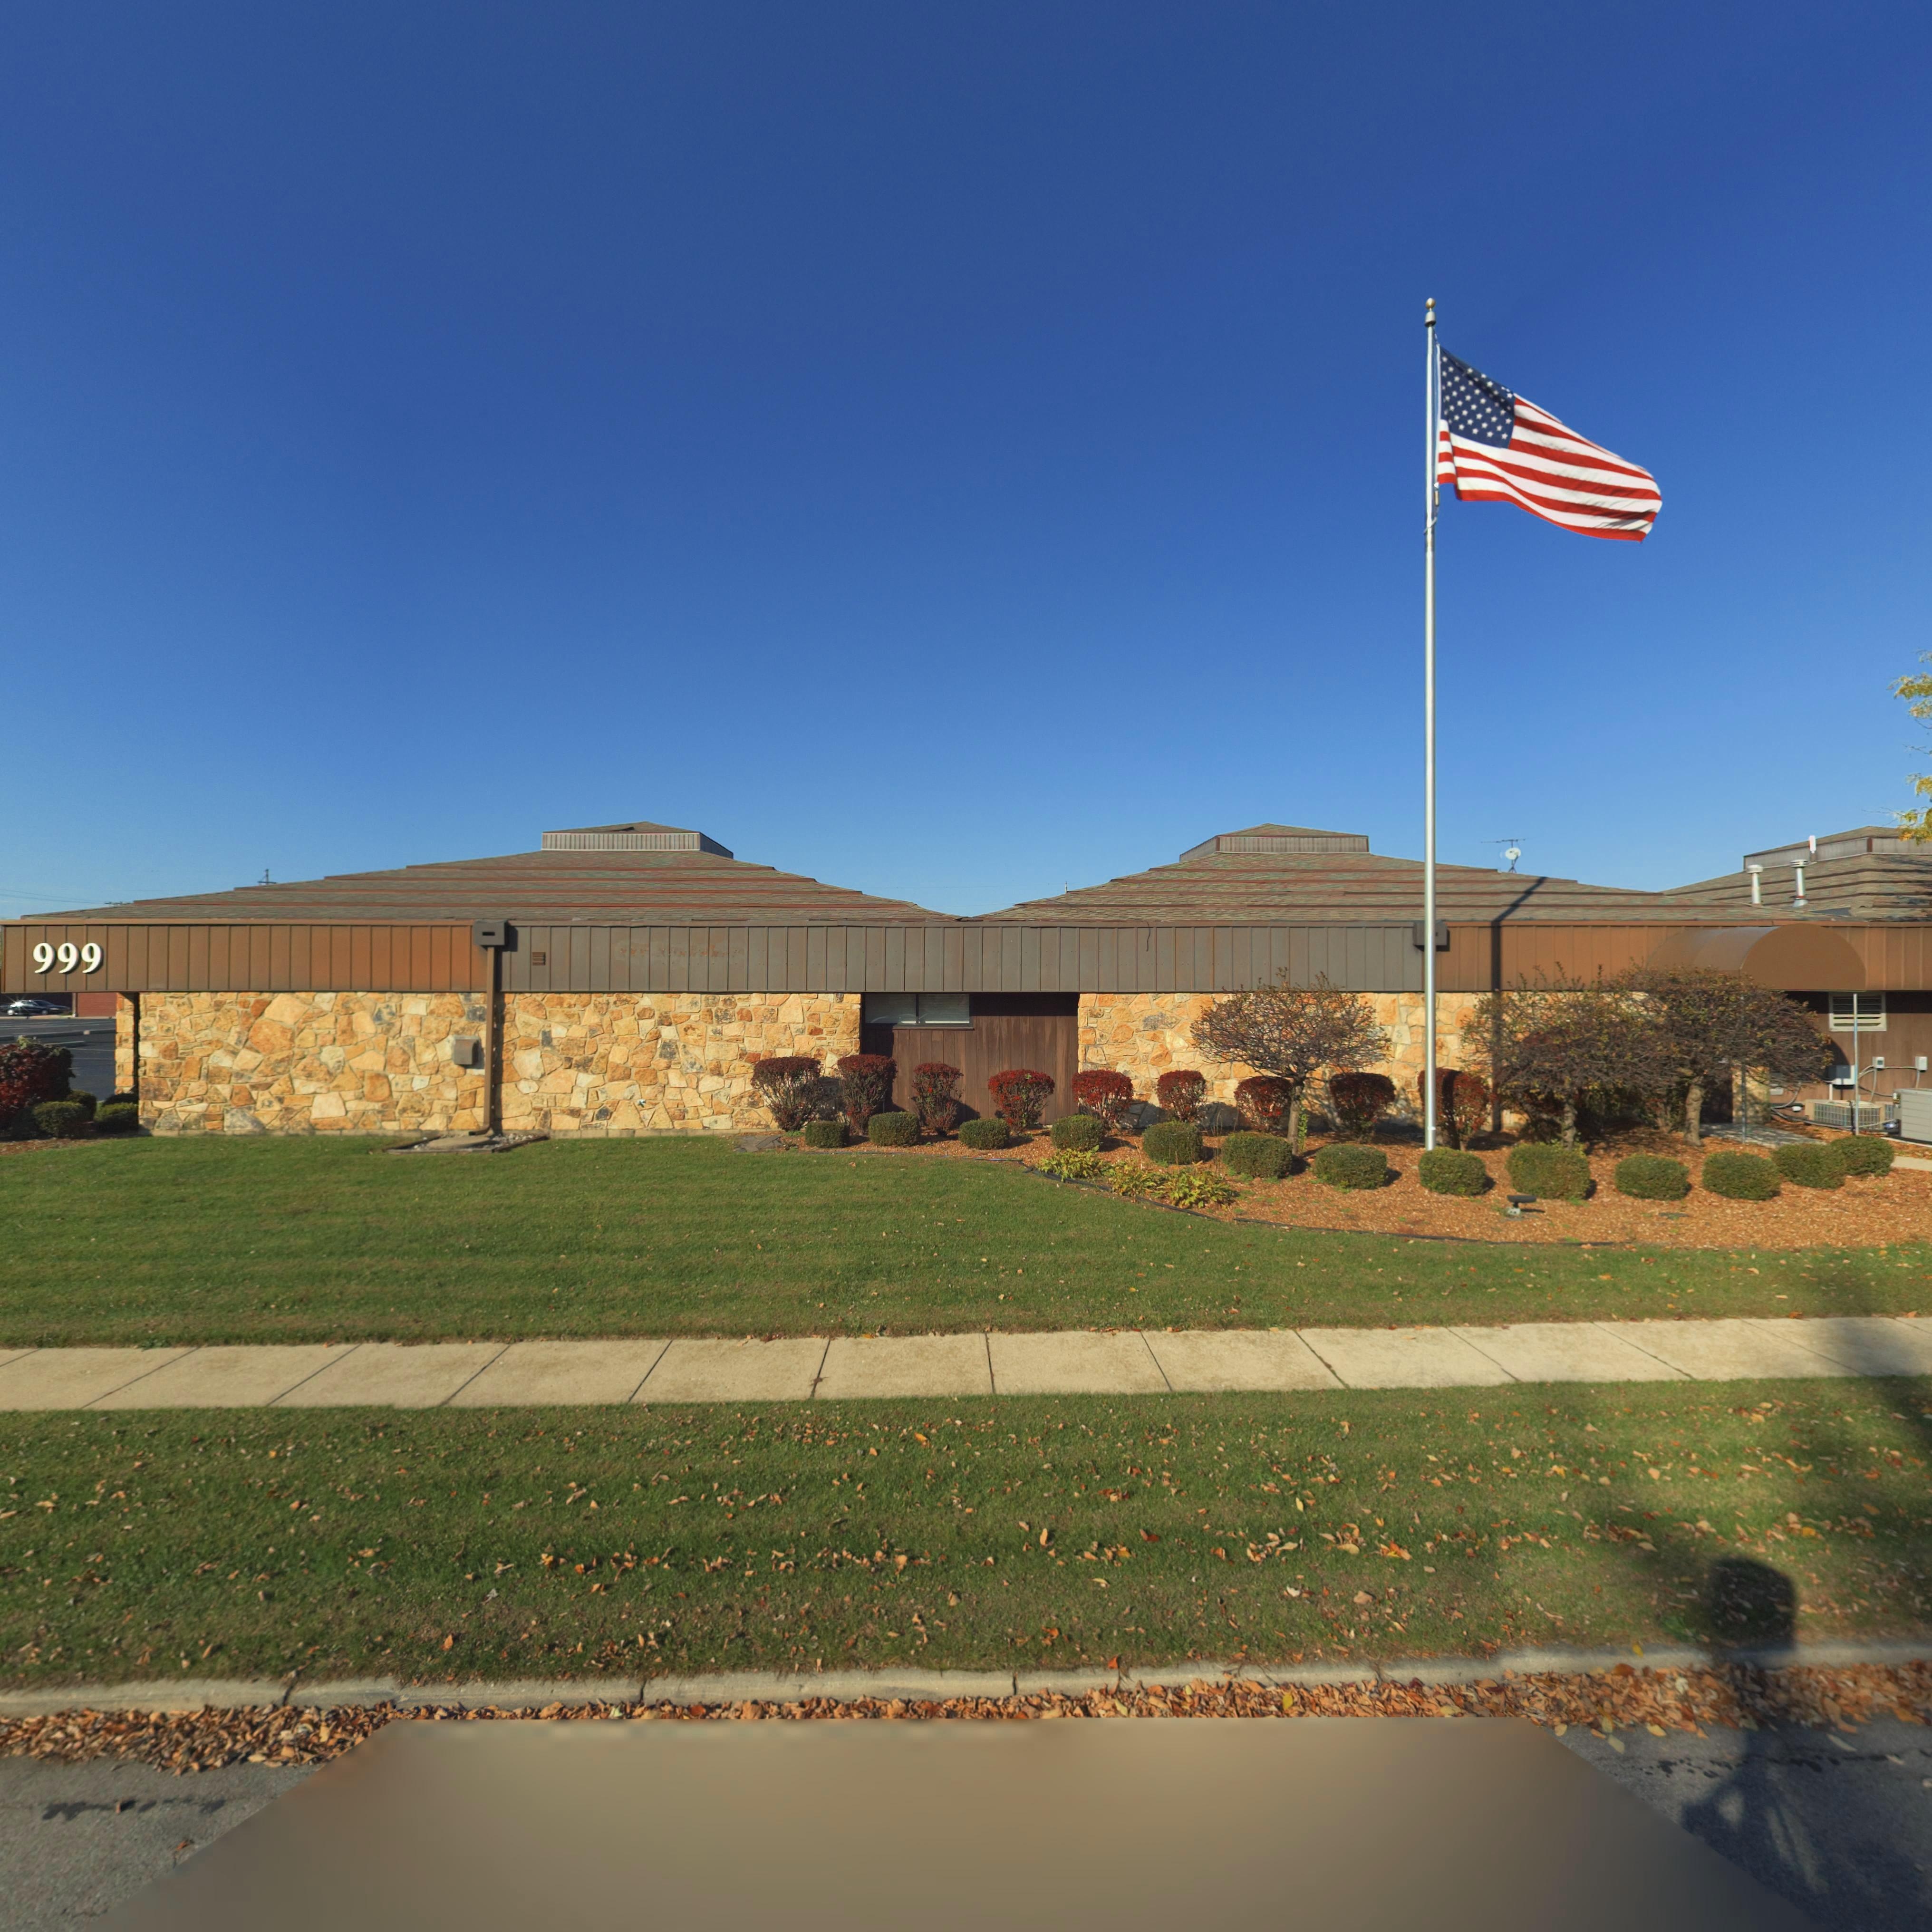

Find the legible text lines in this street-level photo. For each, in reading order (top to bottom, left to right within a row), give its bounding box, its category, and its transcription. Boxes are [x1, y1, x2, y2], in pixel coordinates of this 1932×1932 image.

[32, 942, 102, 975] StreetNumber: 999